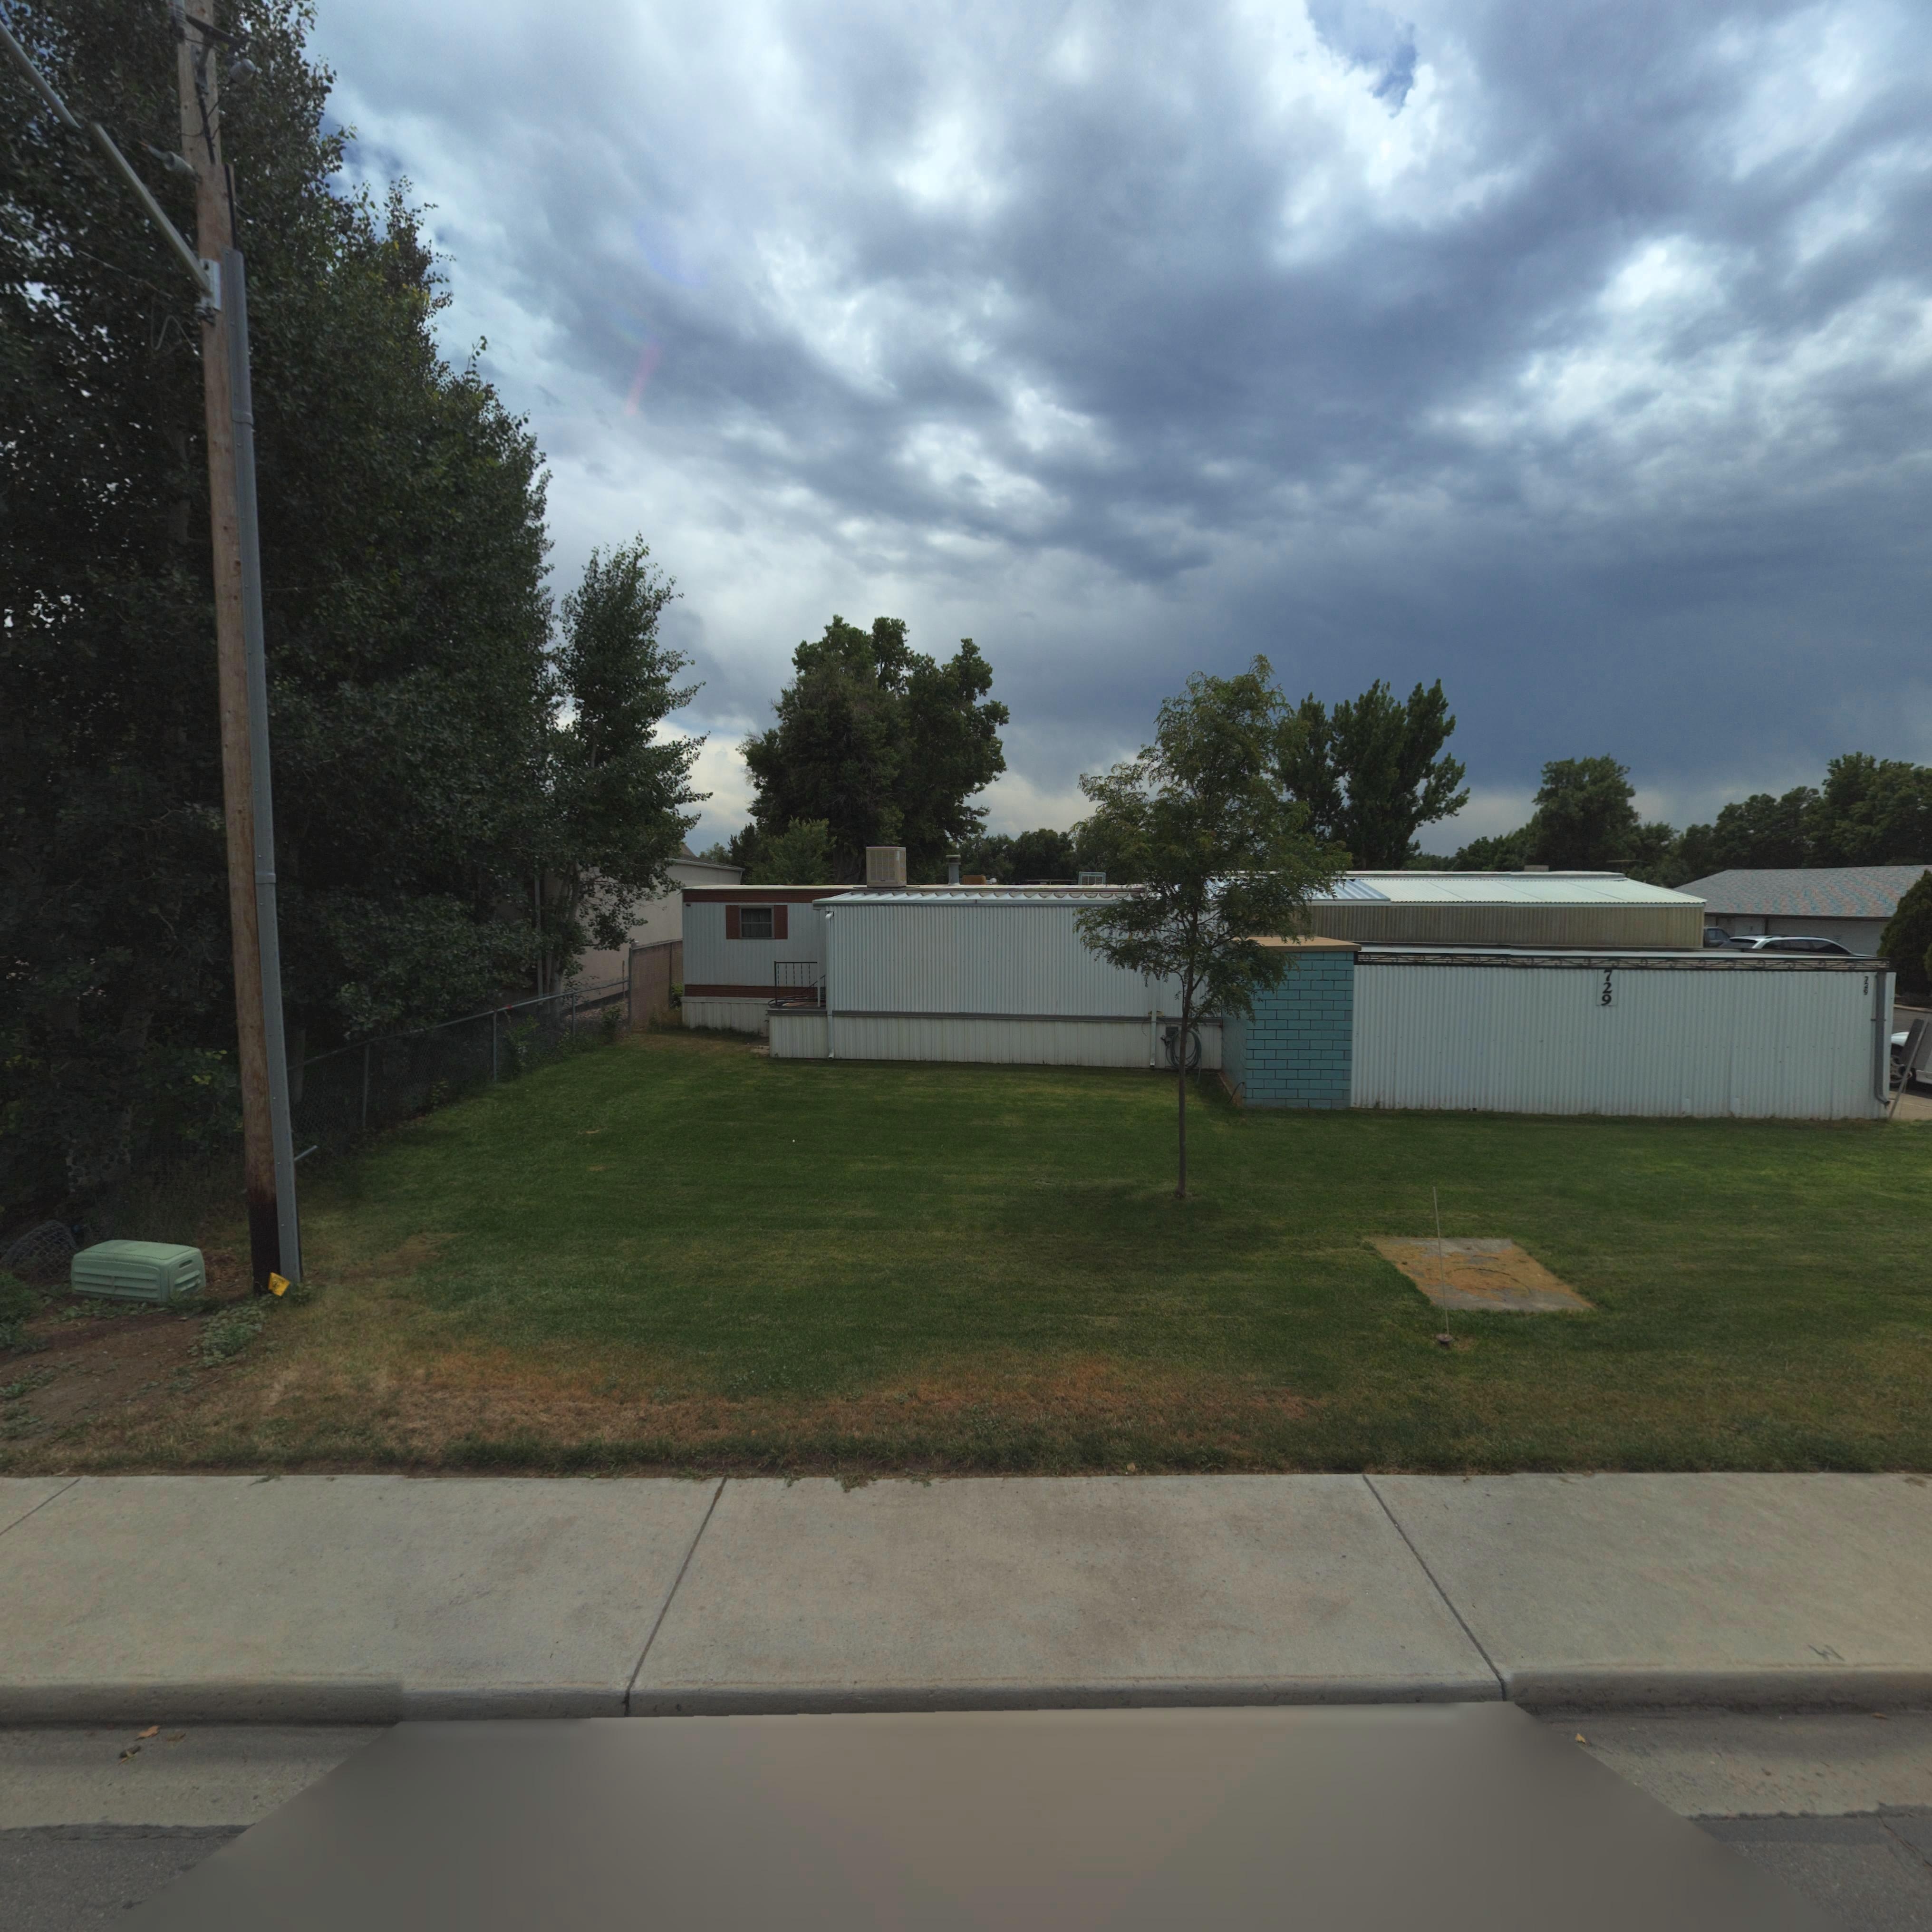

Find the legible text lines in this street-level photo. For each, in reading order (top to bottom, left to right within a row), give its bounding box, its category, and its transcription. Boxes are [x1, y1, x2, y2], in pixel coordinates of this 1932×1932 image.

[1600, 968, 1613, 1007] StreetNumber: 729
[1863, 975, 1869, 997] StreetNumber: 729